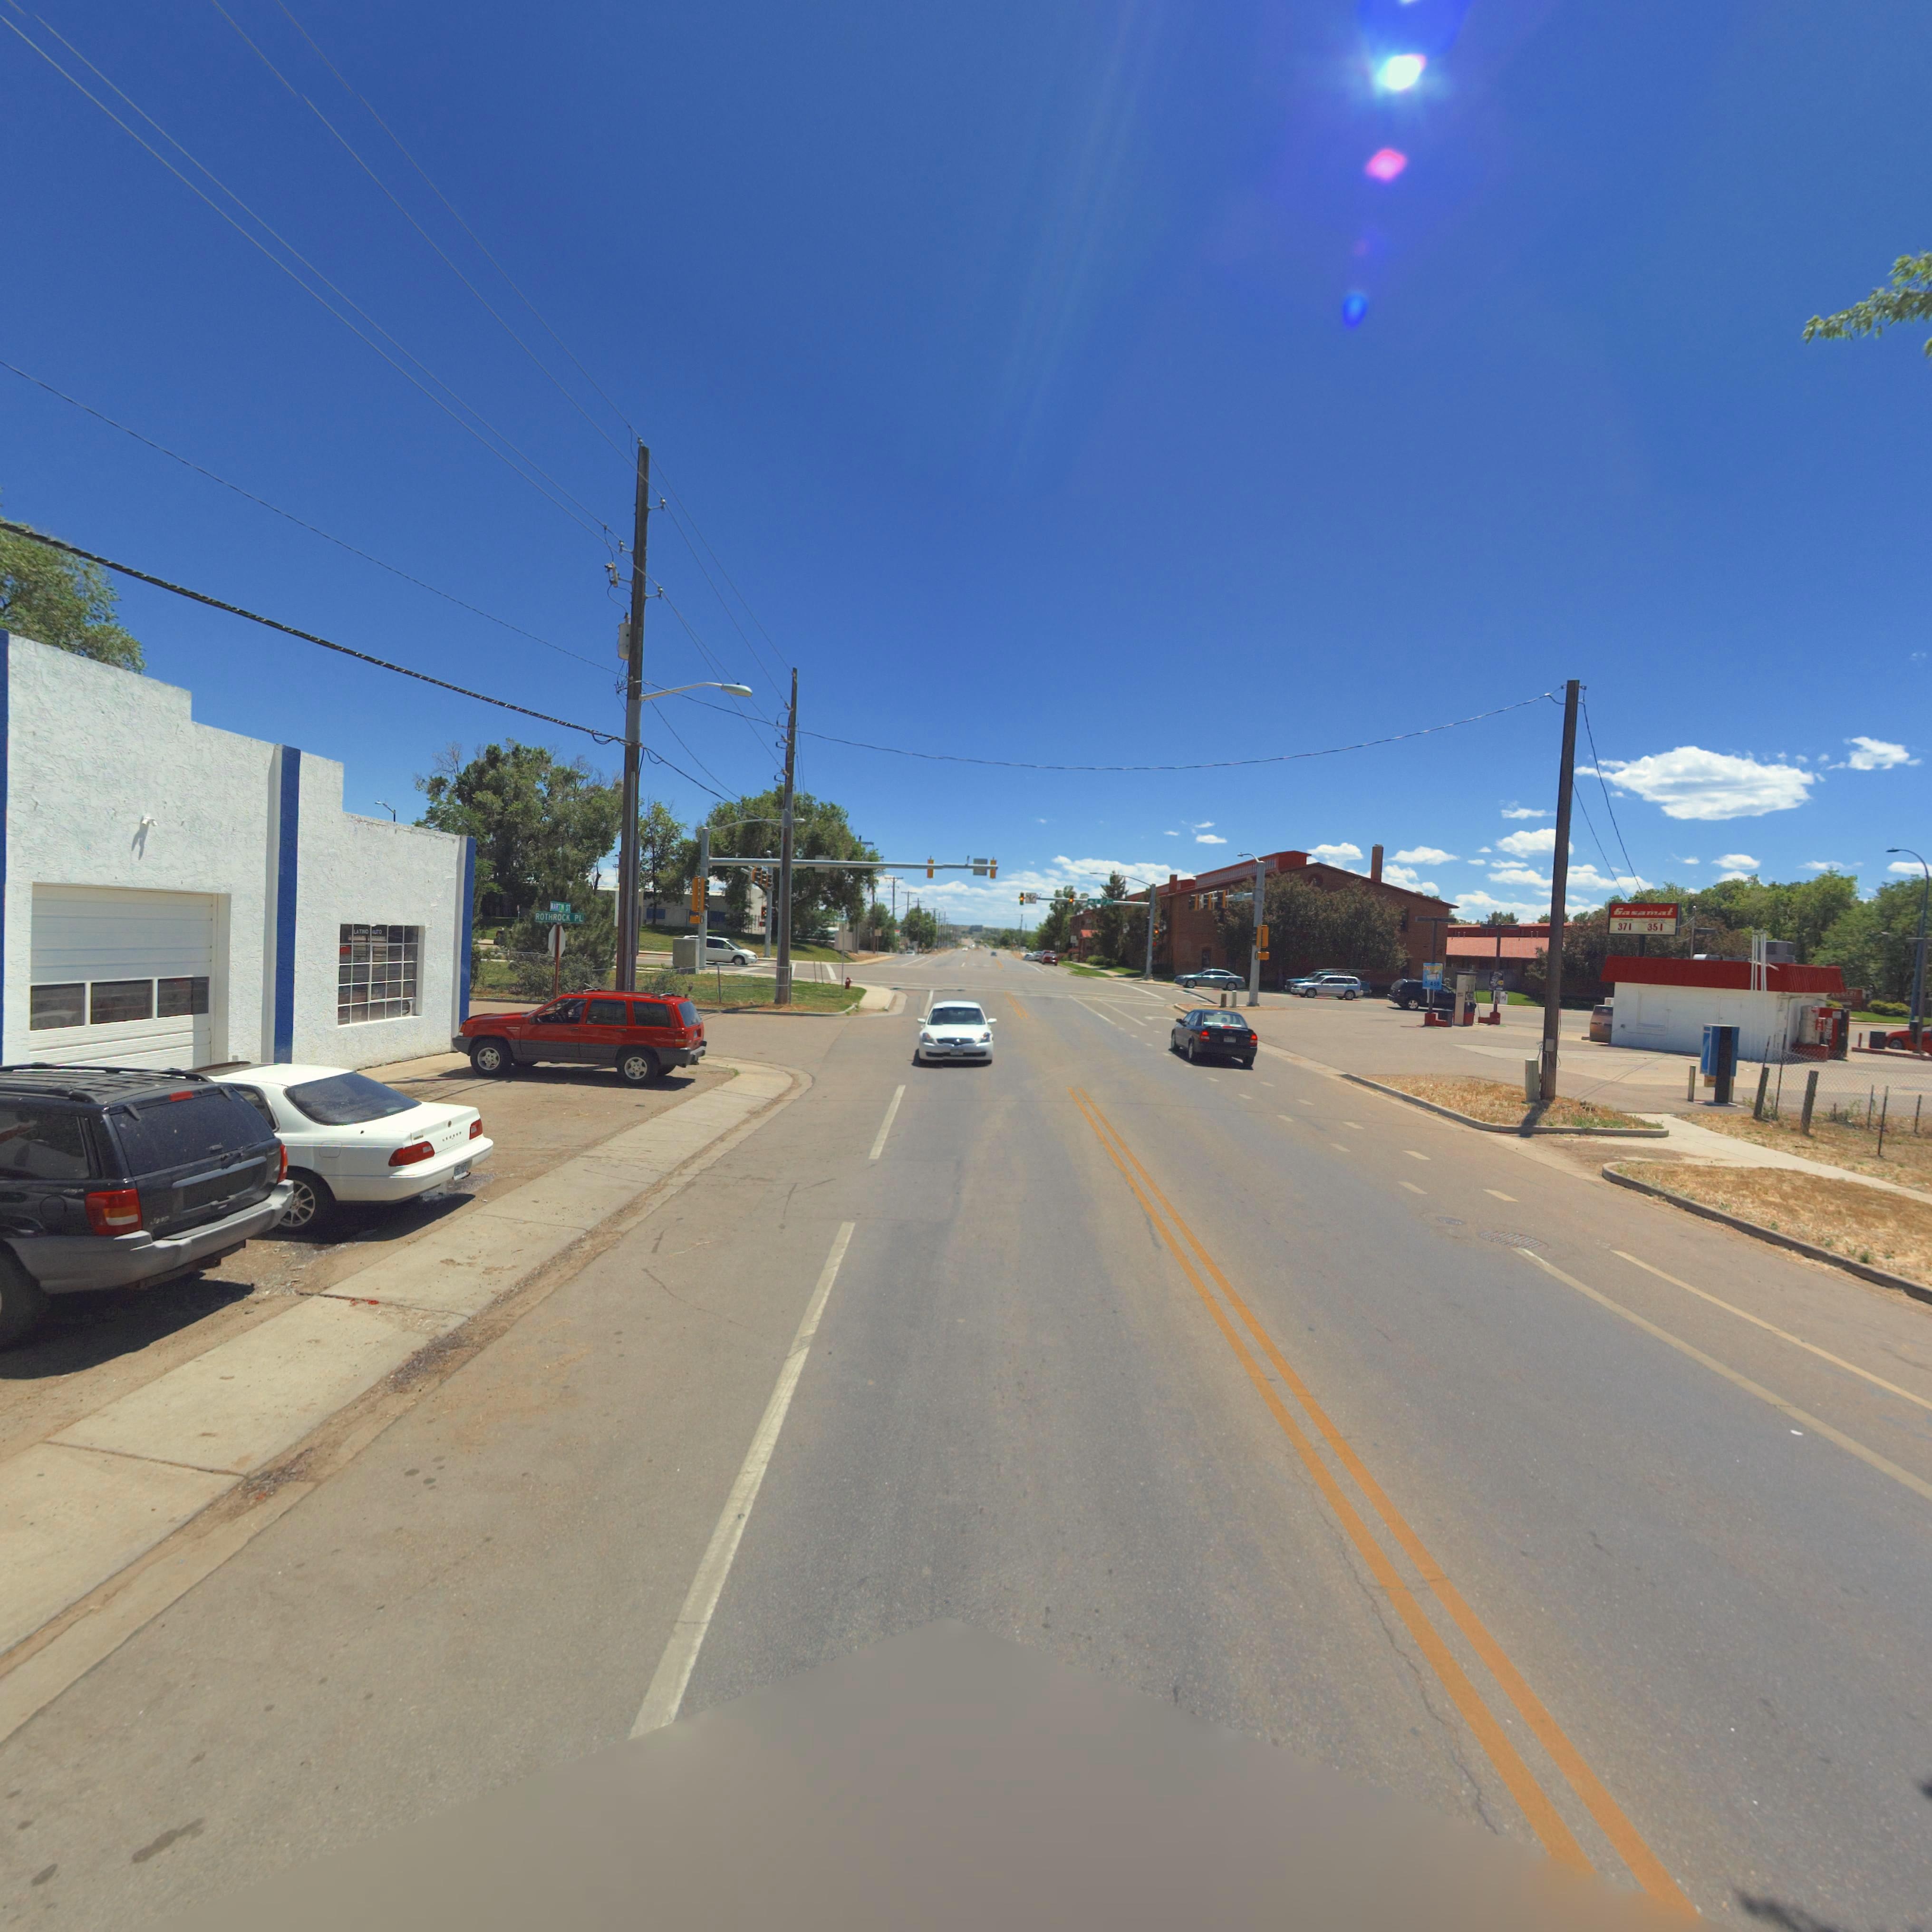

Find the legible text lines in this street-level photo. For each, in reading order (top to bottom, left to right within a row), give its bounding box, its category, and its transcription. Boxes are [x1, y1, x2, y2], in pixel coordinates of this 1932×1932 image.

[1094, 899, 1113, 904] StreetName: E 3** A*
[551, 902, 571, 911] StreetName: **RT*N ST
[1613, 907, 1673, 916] BusinessName: Gasamat
[535, 912, 583, 922] StreetName: ROTHROCK PL
[353, 928, 383, 935] BusinessName: LAT*O **UTO
[1828, 989, 1856, 999] BusinessName: ANNERY